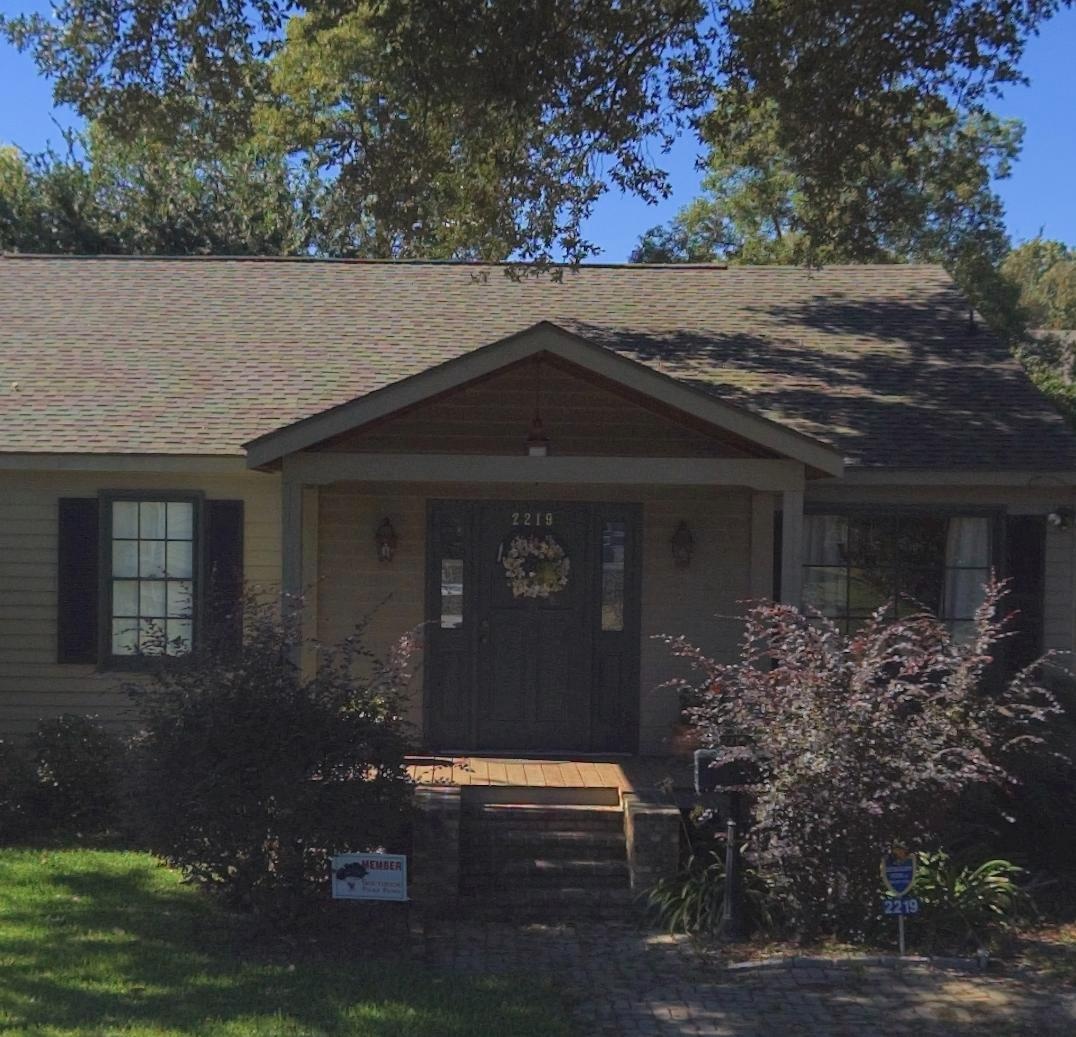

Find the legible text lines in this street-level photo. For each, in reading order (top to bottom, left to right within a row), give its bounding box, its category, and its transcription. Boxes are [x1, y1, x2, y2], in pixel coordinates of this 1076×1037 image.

[510, 510, 555, 528] StreetNumber: 2219
[359, 858, 403, 873] None: MEMBER
[882, 897, 920, 916] StreetNumber: 2219